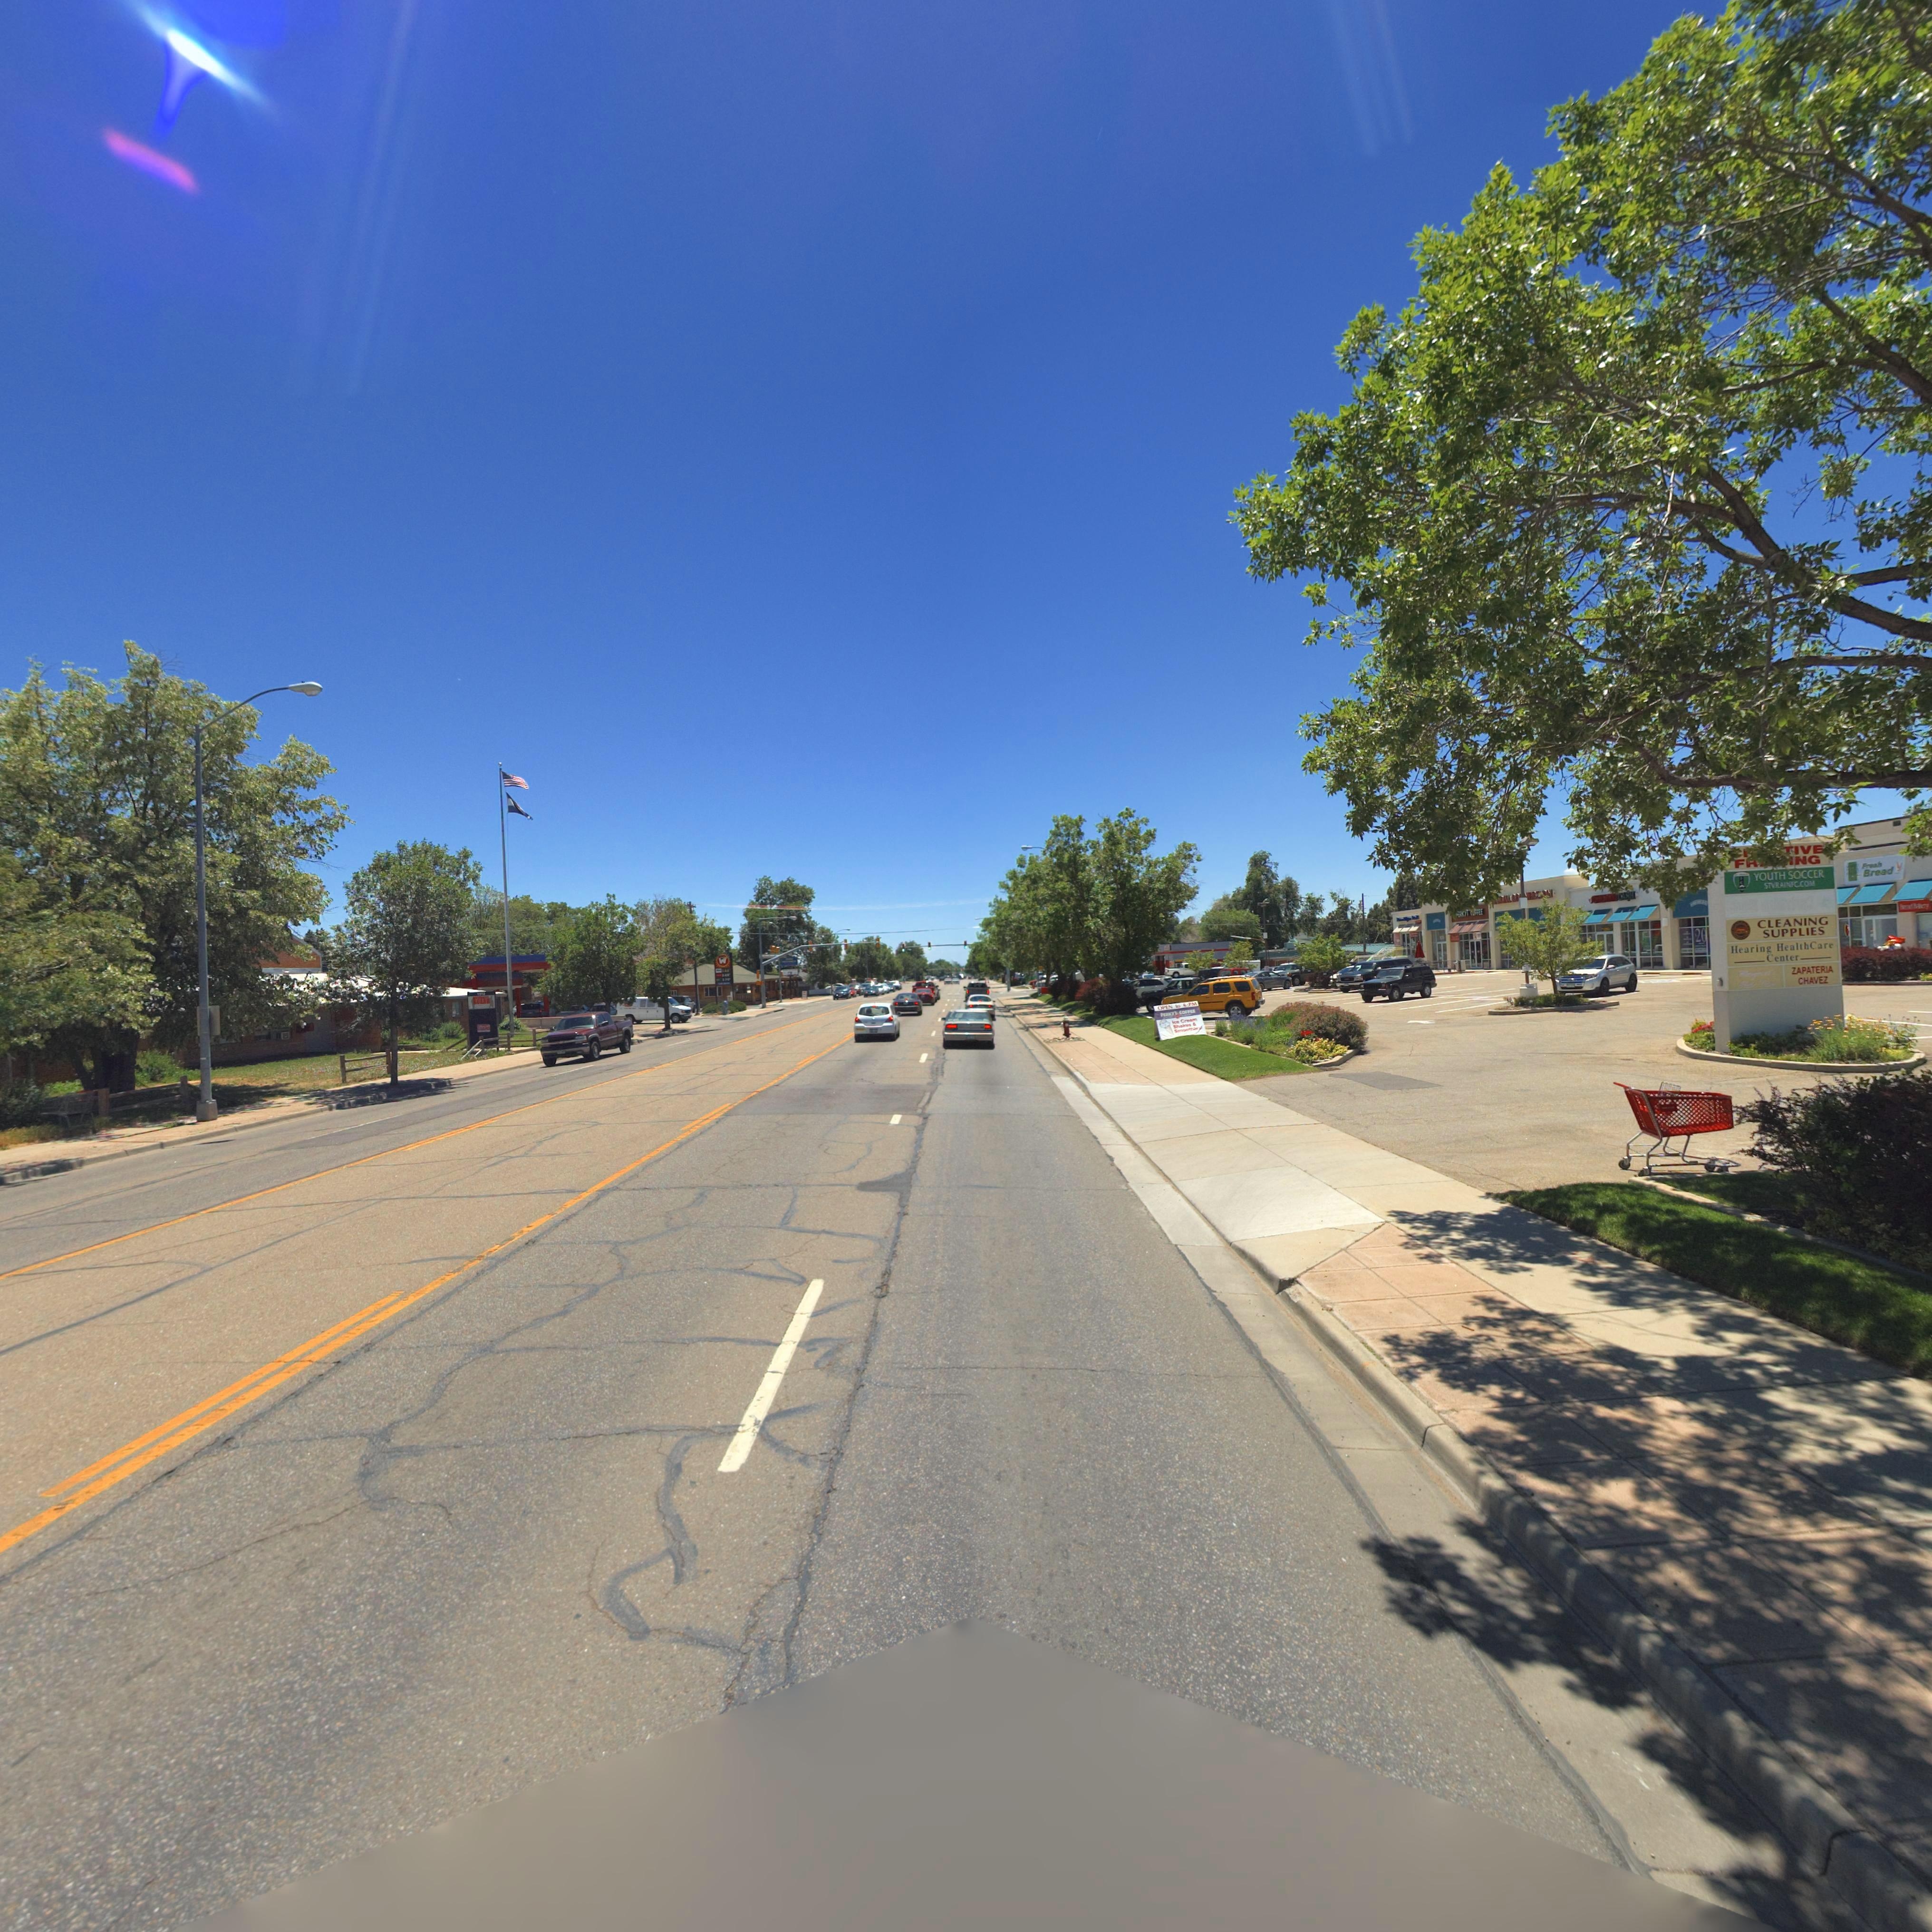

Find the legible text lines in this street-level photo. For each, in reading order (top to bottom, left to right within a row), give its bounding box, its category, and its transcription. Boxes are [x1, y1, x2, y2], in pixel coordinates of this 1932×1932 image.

[1729, 843, 1825, 859] BusinessName: ****TIVE
[1734, 855, 1824, 869] BusinessName: FR***ING
[1751, 868, 1826, 880] BusinessName: YOUTH SOCCER
[1618, 890, 1636, 900] BusinessName: **SH
[1455, 908, 1484, 917] BusinessName: **** C*FFEE
[1729, 940, 1834, 954] BusinessName: Hearing HealthCare
[1766, 953, 1800, 963] BusinessName: CENTER
[1791, 965, 1835, 974] BusinessName: ZAPATERIA
[1797, 975, 1828, 985] BusinessName: CHAVEZ
[477, 992, 485, 995] StreetNumber: 1**2